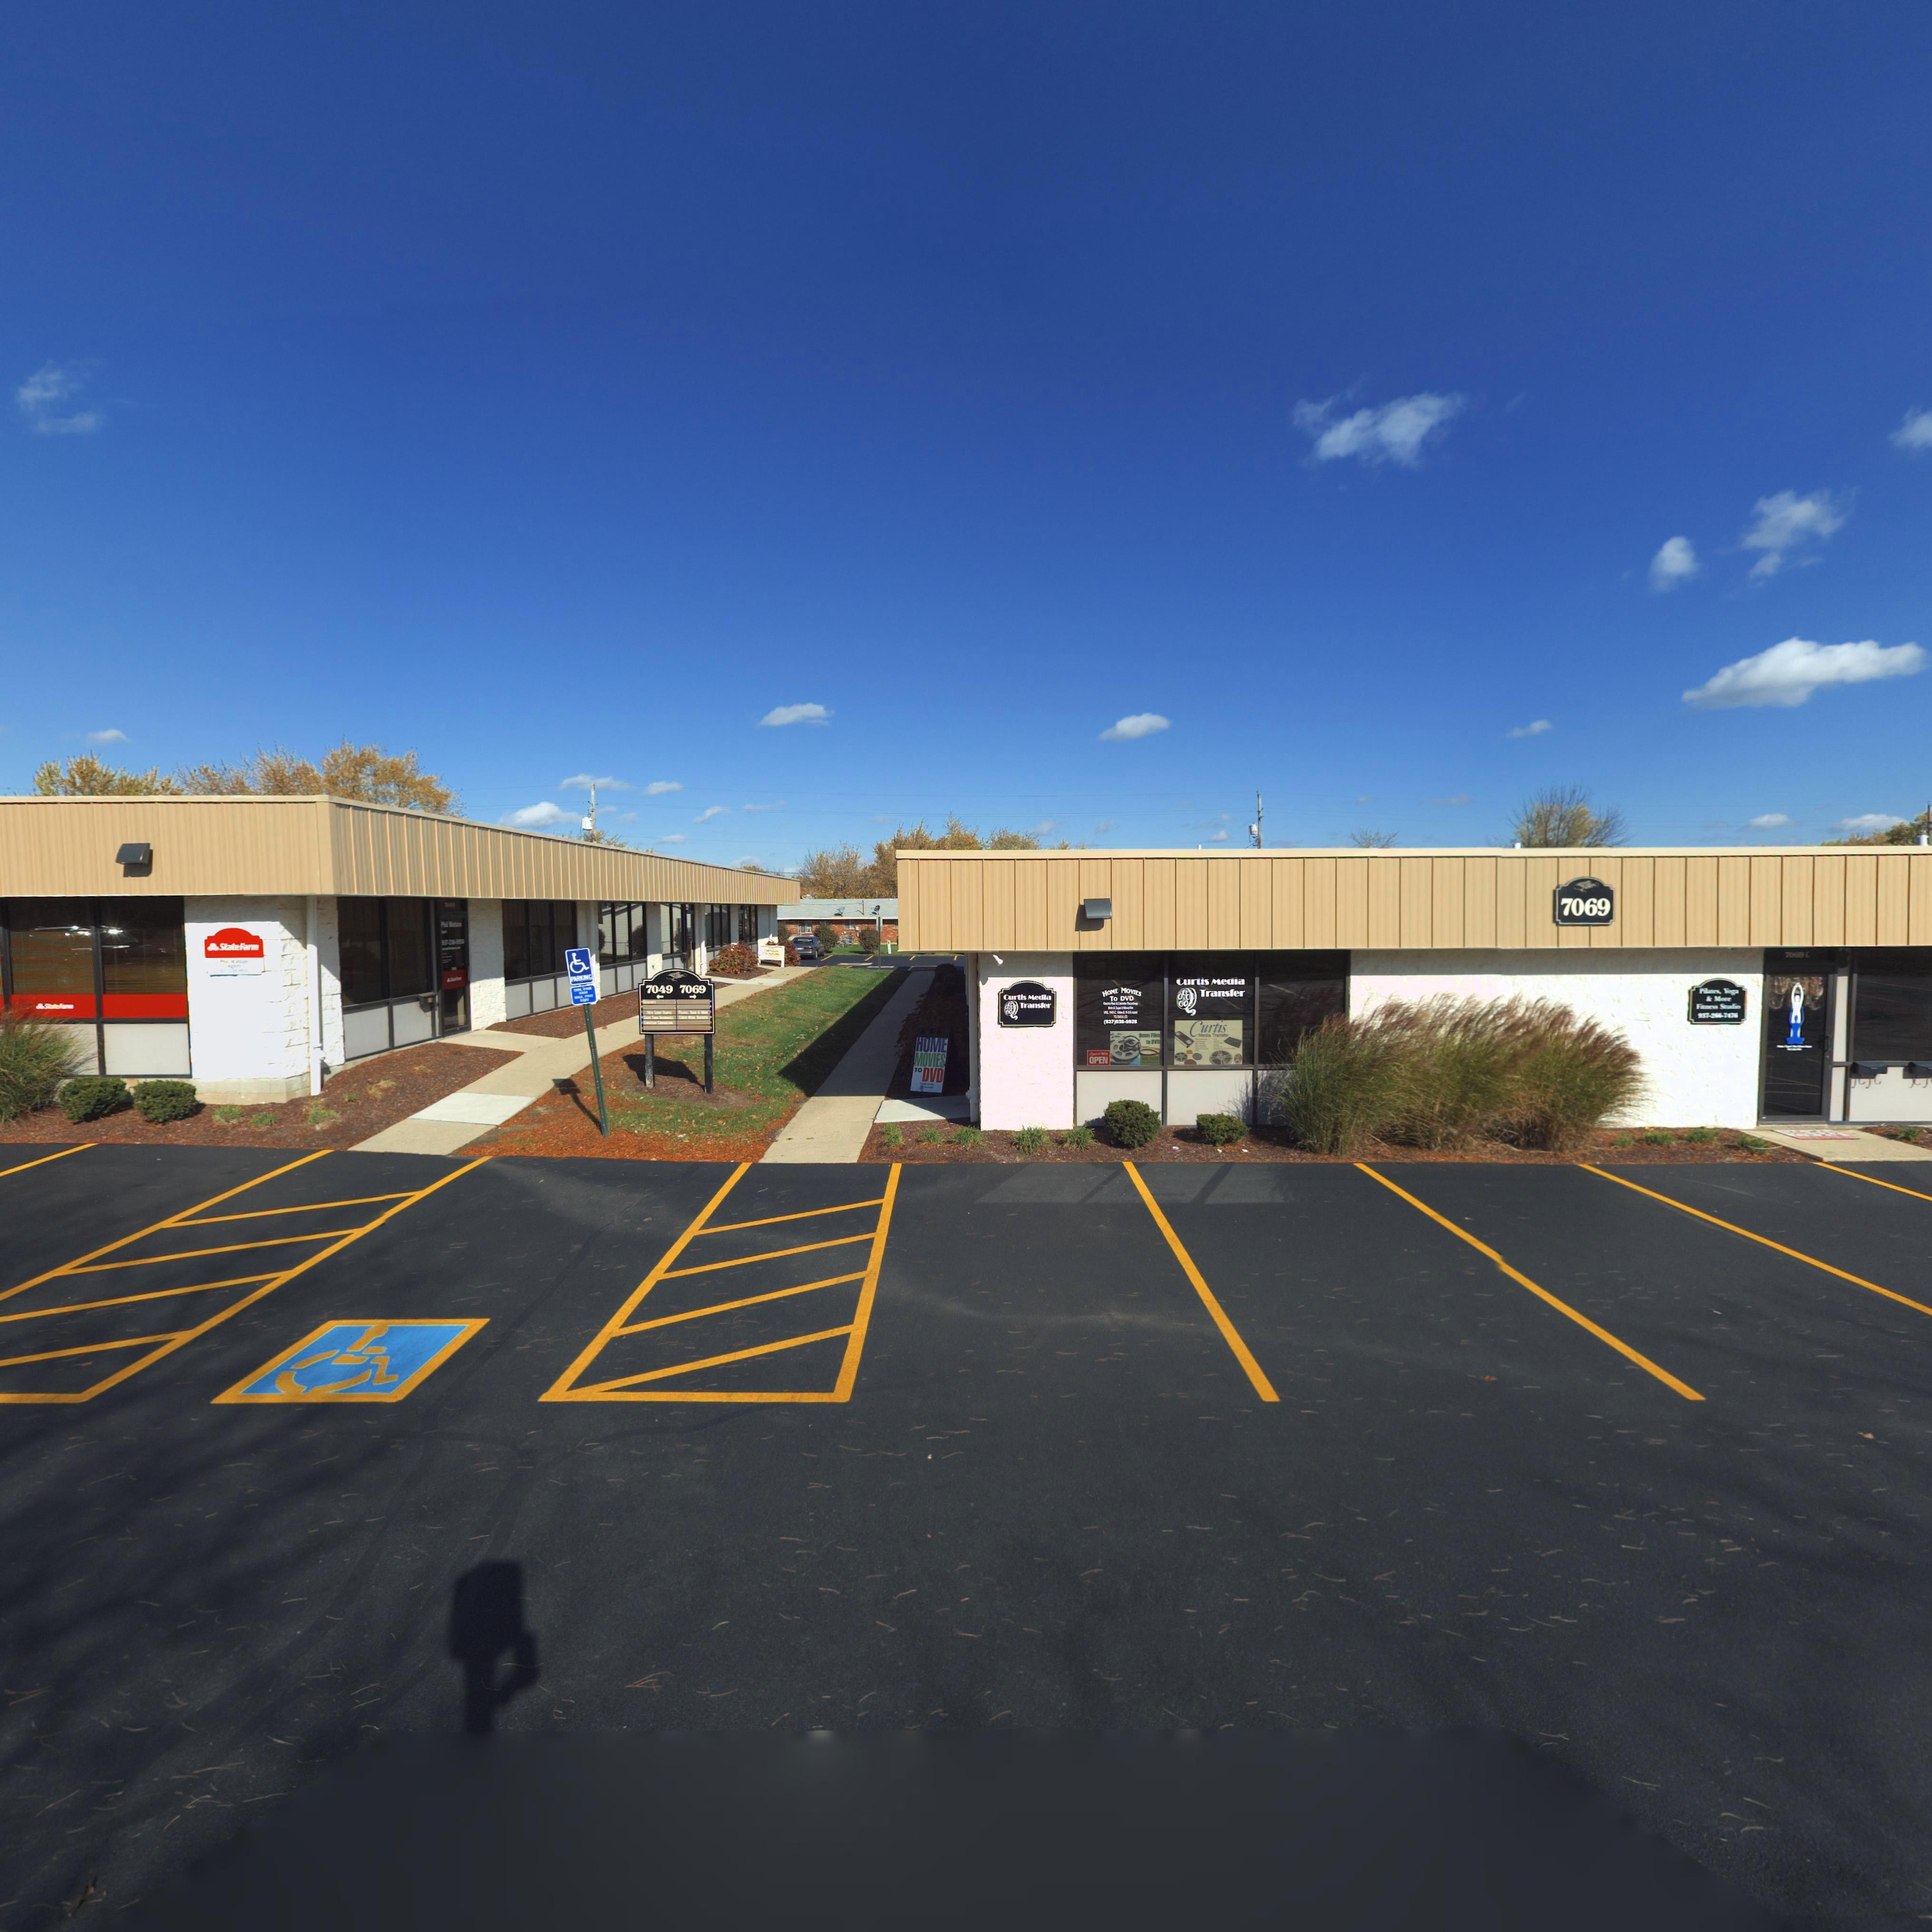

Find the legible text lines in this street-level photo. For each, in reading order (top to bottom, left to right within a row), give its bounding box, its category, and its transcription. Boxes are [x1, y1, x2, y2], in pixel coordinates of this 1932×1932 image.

[1559, 896, 1612, 918] StreetNumber: 7069
[1784, 950, 1812, 960] StreetNumber: 7069 C
[645, 984, 675, 995] StreetNumber: 7049
[678, 984, 708, 995] StreetNumber: 7069